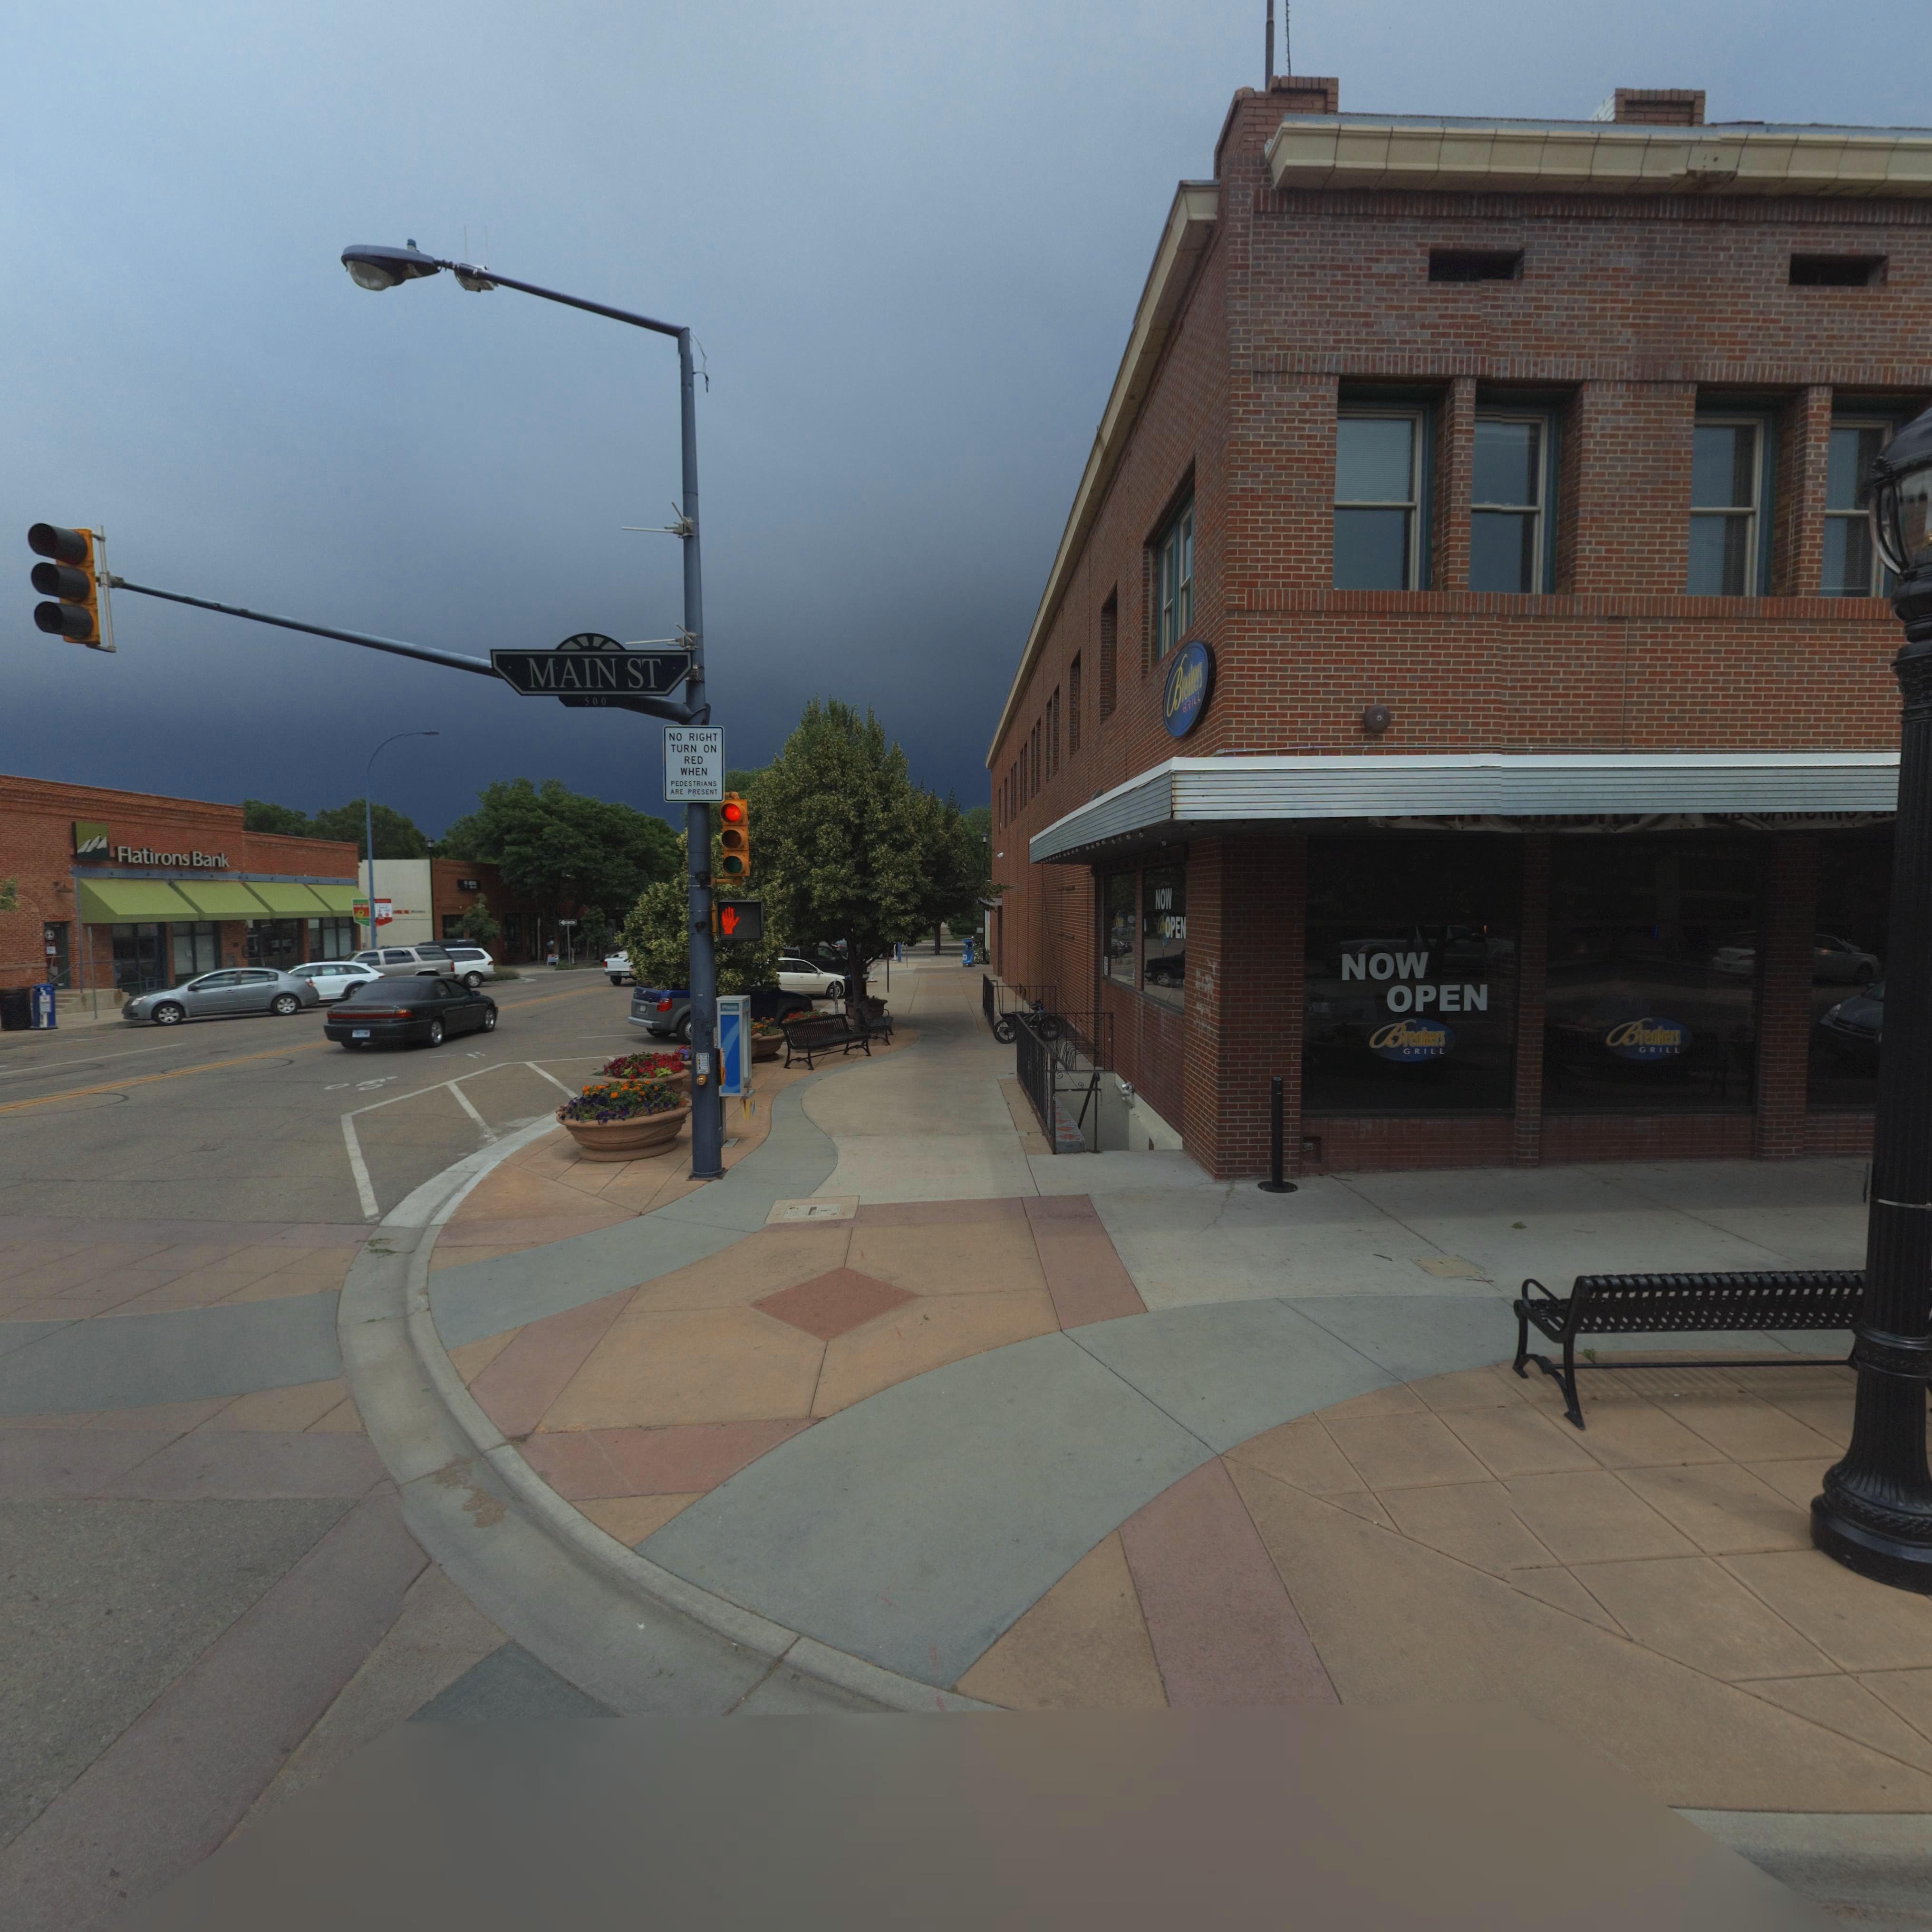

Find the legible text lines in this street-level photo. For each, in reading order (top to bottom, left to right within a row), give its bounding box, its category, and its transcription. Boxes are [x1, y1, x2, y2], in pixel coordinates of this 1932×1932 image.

[526, 657, 662, 689] StreetName: MAIN ST
[1166, 661, 1203, 717] BusinessName: Breakers
[584, 696, 607, 706] StreetNumberRange: 500
[1182, 692, 1201, 715] BusinessName: GRILL
[117, 845, 231, 868] BusinessName: Flatirons Bank
[1368, 1022, 1446, 1049] BusinessName: Breakers
[1605, 1021, 1681, 1047] BusinessName: Breakers
[1403, 1047, 1445, 1055] BusinessName: GRILL
[1639, 1046, 1680, 1053] BusinessName: GRILL